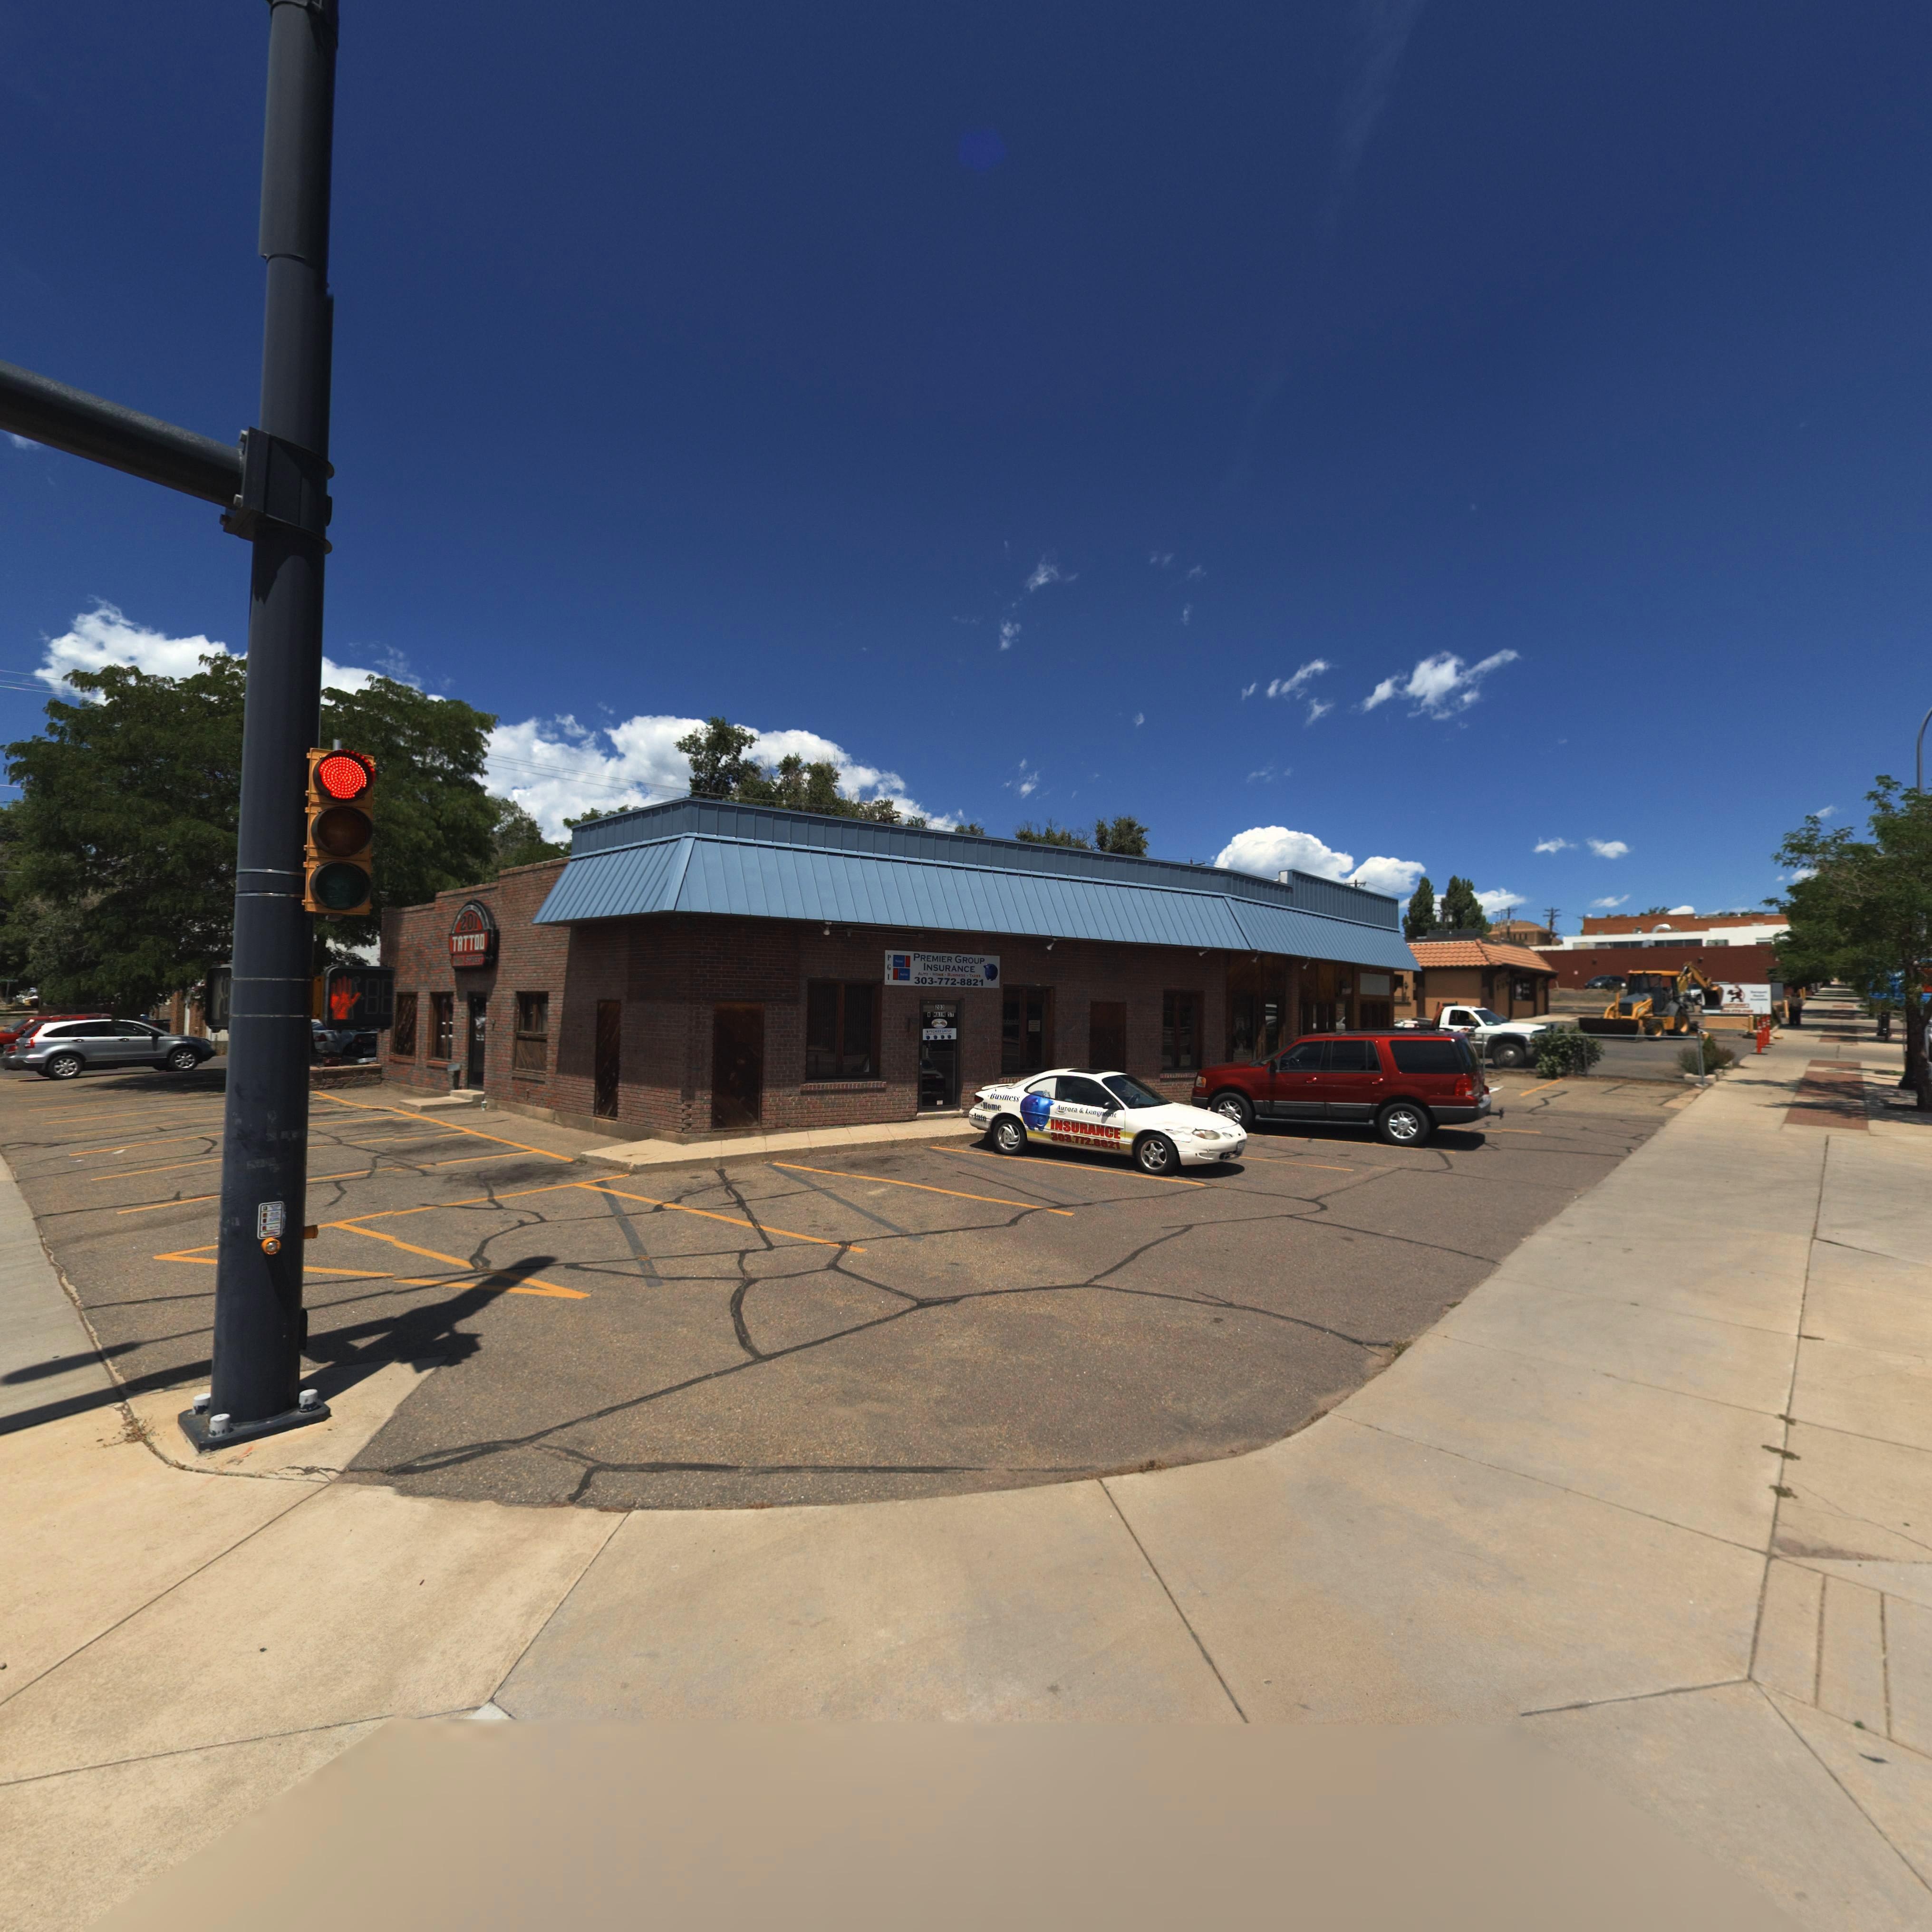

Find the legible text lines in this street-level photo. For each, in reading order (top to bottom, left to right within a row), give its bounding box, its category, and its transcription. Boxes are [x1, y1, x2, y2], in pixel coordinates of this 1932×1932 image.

[458, 911, 478, 931] StreetNumber: 201
[452, 933, 484, 952] BusinessName: TATTOO
[452, 954, 483, 965] BusinessName: ***N STREET
[913, 953, 985, 965] BusinessName: PREMIER GROUP
[923, 962, 976, 973] BusinessName: INSURANCE
[935, 1005, 944, 1009] StreetNumber: 203
[927, 1012, 954, 1017] StreetName: N MAIN ST
[929, 1029, 952, 1033] BusinessName: PREM*** ***UP